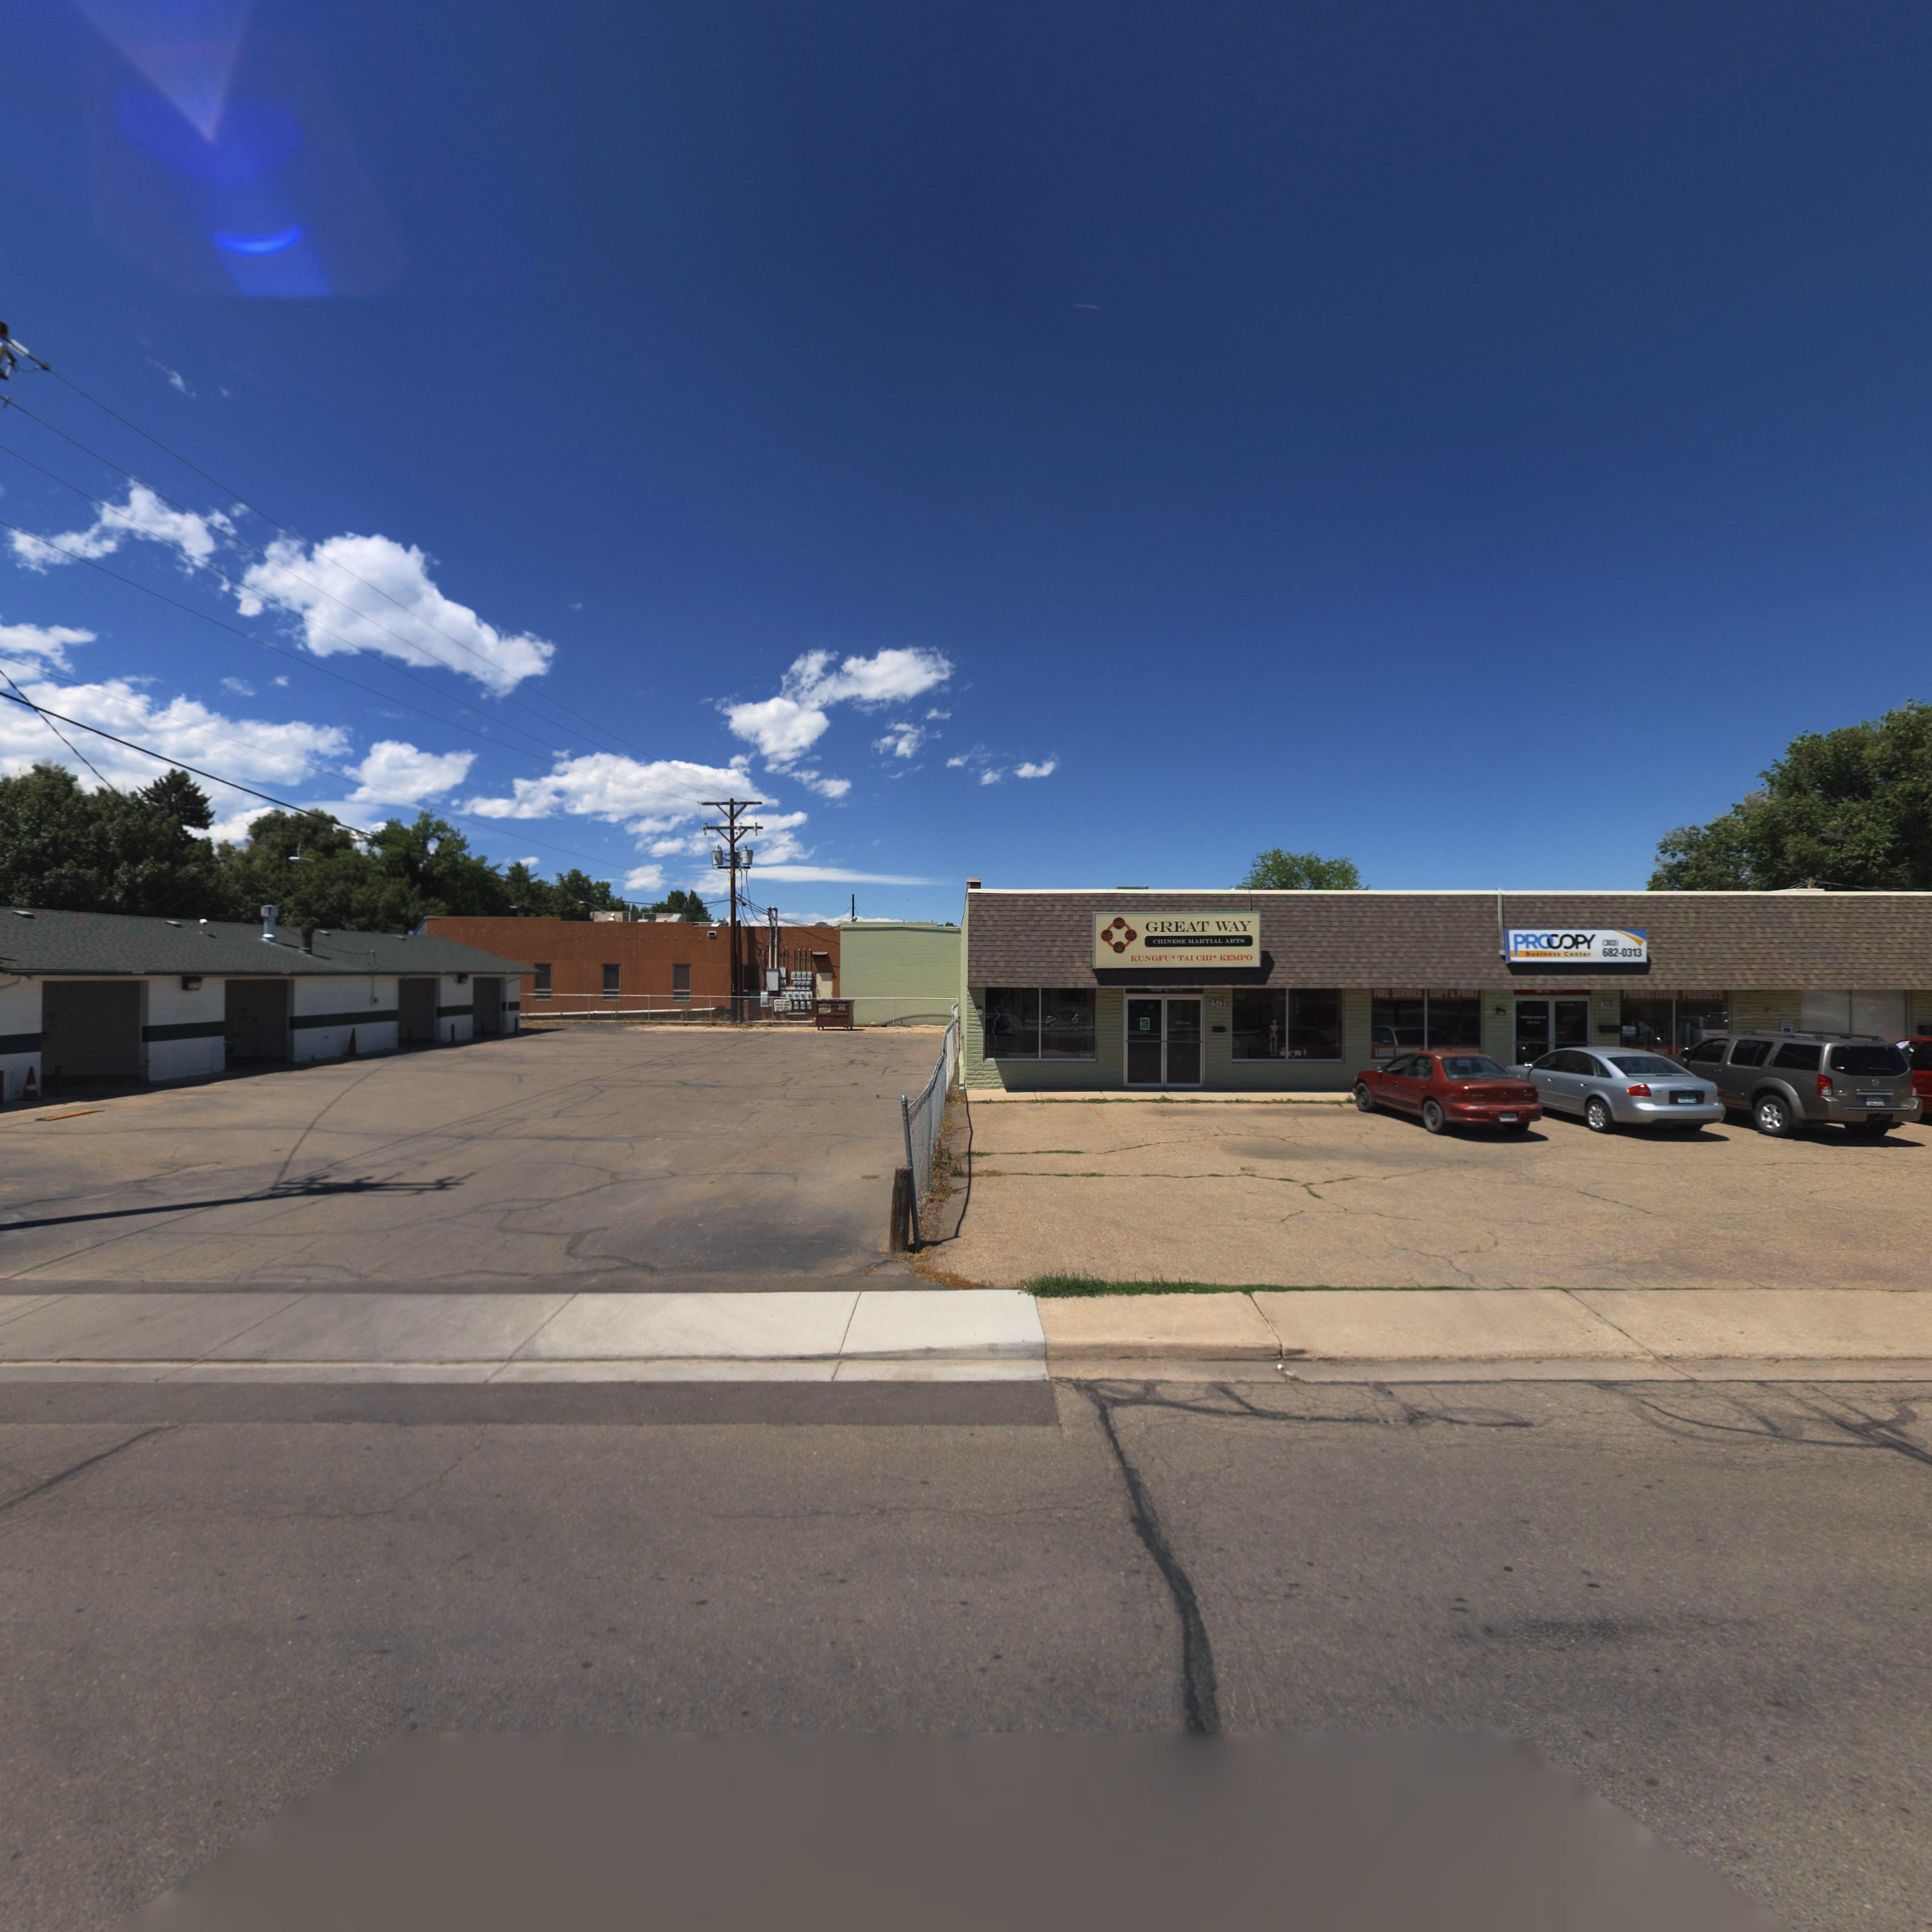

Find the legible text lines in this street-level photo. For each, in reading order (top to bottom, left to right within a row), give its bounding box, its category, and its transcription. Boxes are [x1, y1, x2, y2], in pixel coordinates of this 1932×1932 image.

[1145, 920, 1252, 932] BusinessName: GREAT WAY
[1512, 933, 1596, 956] BusinessName: PROCOPY
[1150, 987, 1162, 993] StreetNumber: *12
[1212, 1000, 1225, 1007] StreetNumber: 512
[1602, 1001, 1613, 1008] StreetNumber: 510